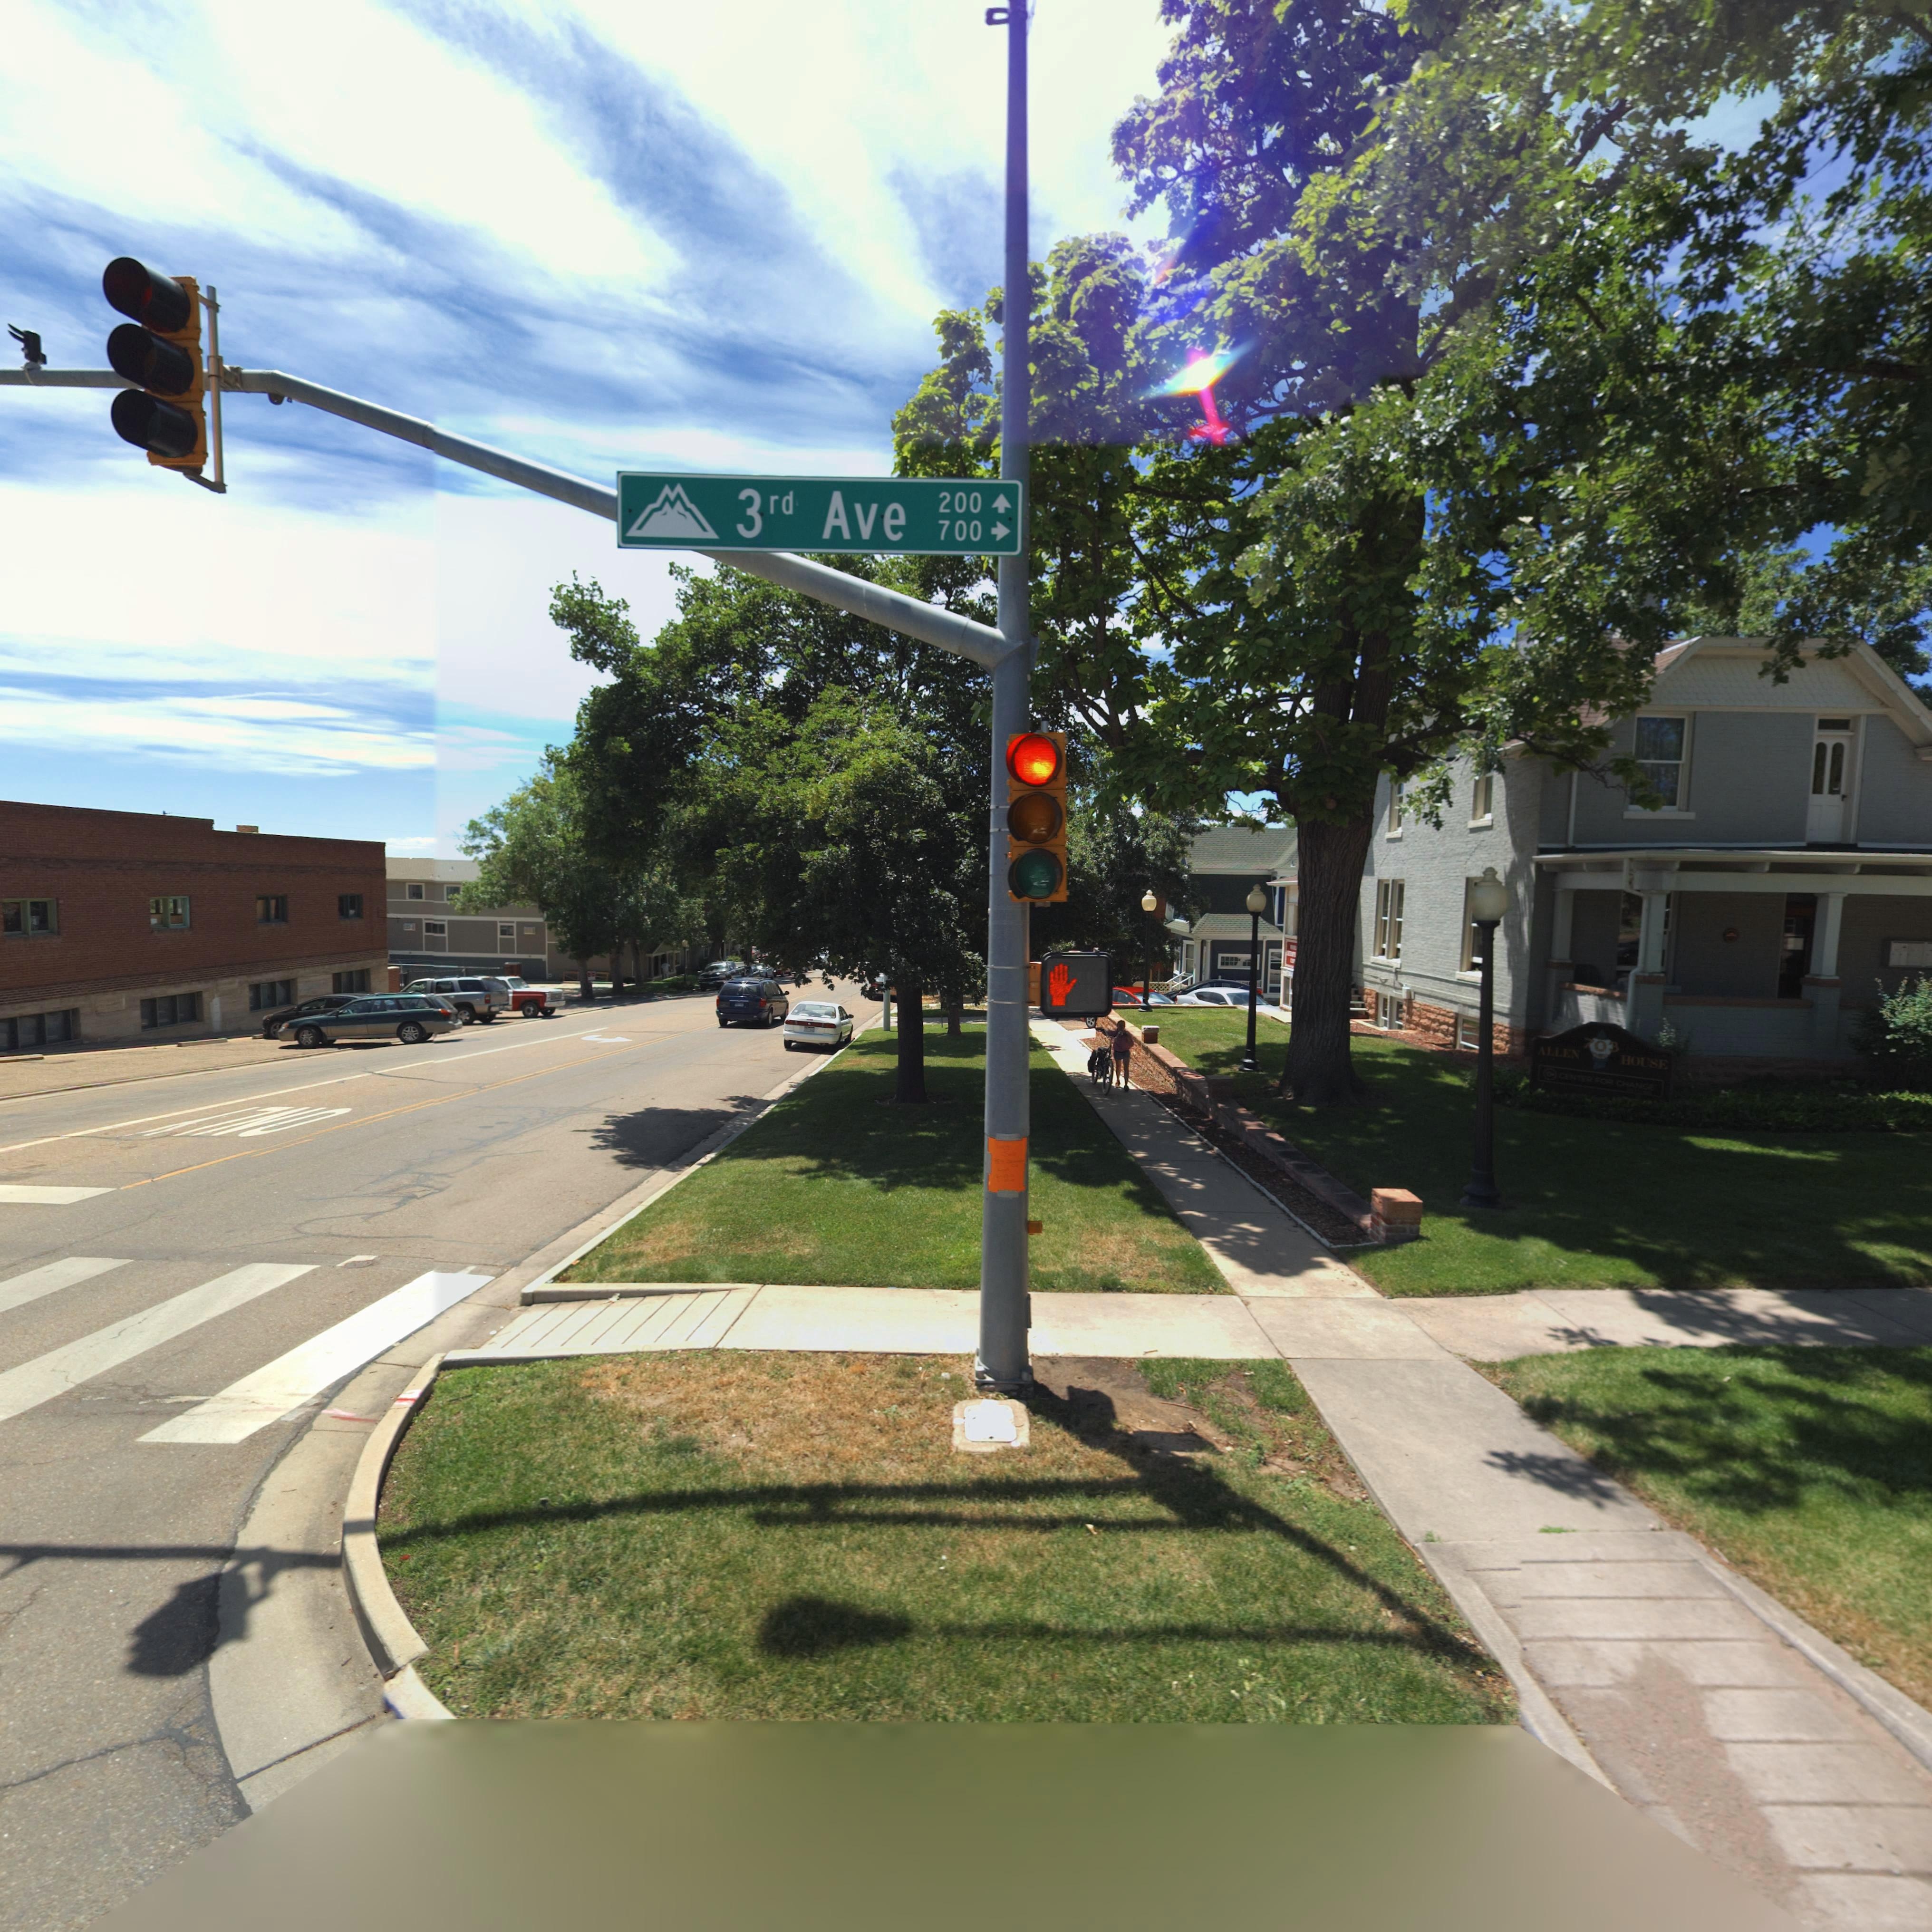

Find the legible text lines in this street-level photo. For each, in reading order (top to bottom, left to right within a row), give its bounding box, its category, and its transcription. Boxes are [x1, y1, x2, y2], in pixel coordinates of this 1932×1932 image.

[938, 491, 983, 513] StreetNumberRange: 200
[735, 487, 907, 542] StreetName: 3rd Ave 
[937, 519, 1011, 541] StreetNumberRange: 700->
[1584, 1037, 1620, 1053] StreetNumber: 703